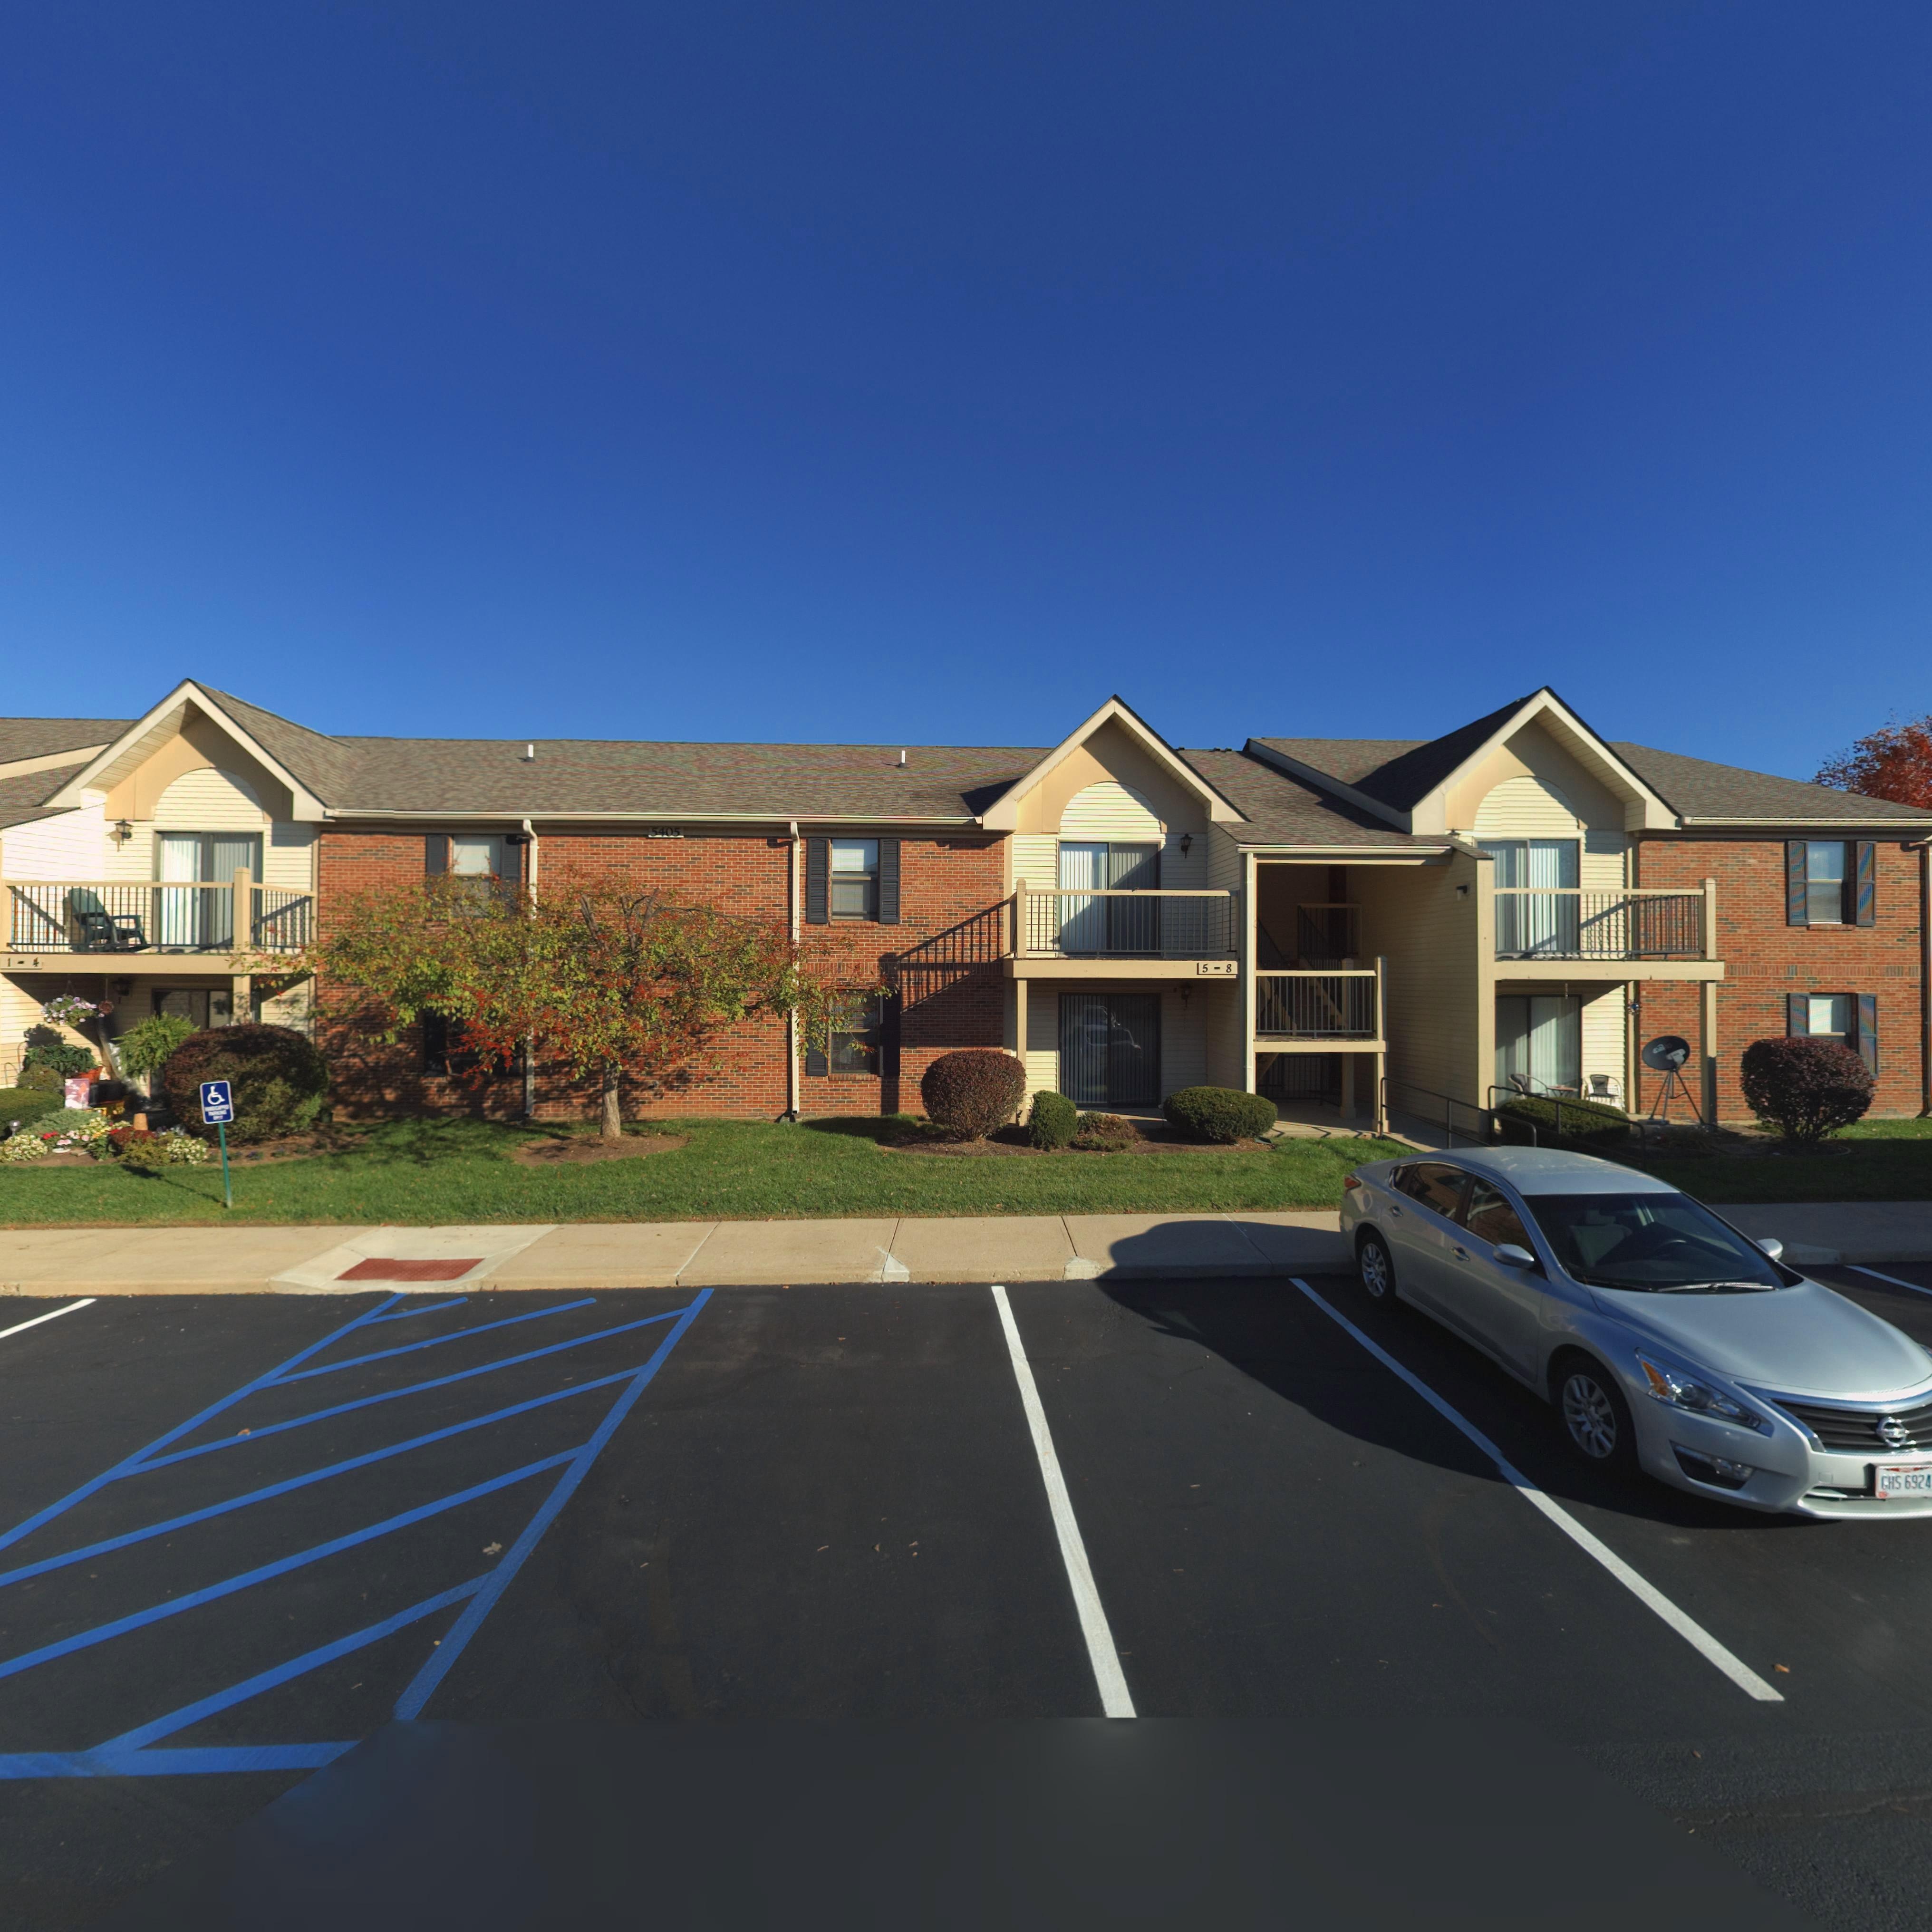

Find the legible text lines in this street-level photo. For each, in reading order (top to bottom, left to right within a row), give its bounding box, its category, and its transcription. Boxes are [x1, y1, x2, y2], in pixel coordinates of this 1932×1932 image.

[5, 956, 39, 967] StreetNumber: 1-4
[1201, 963, 1232, 973] StreetNumber: 5-8